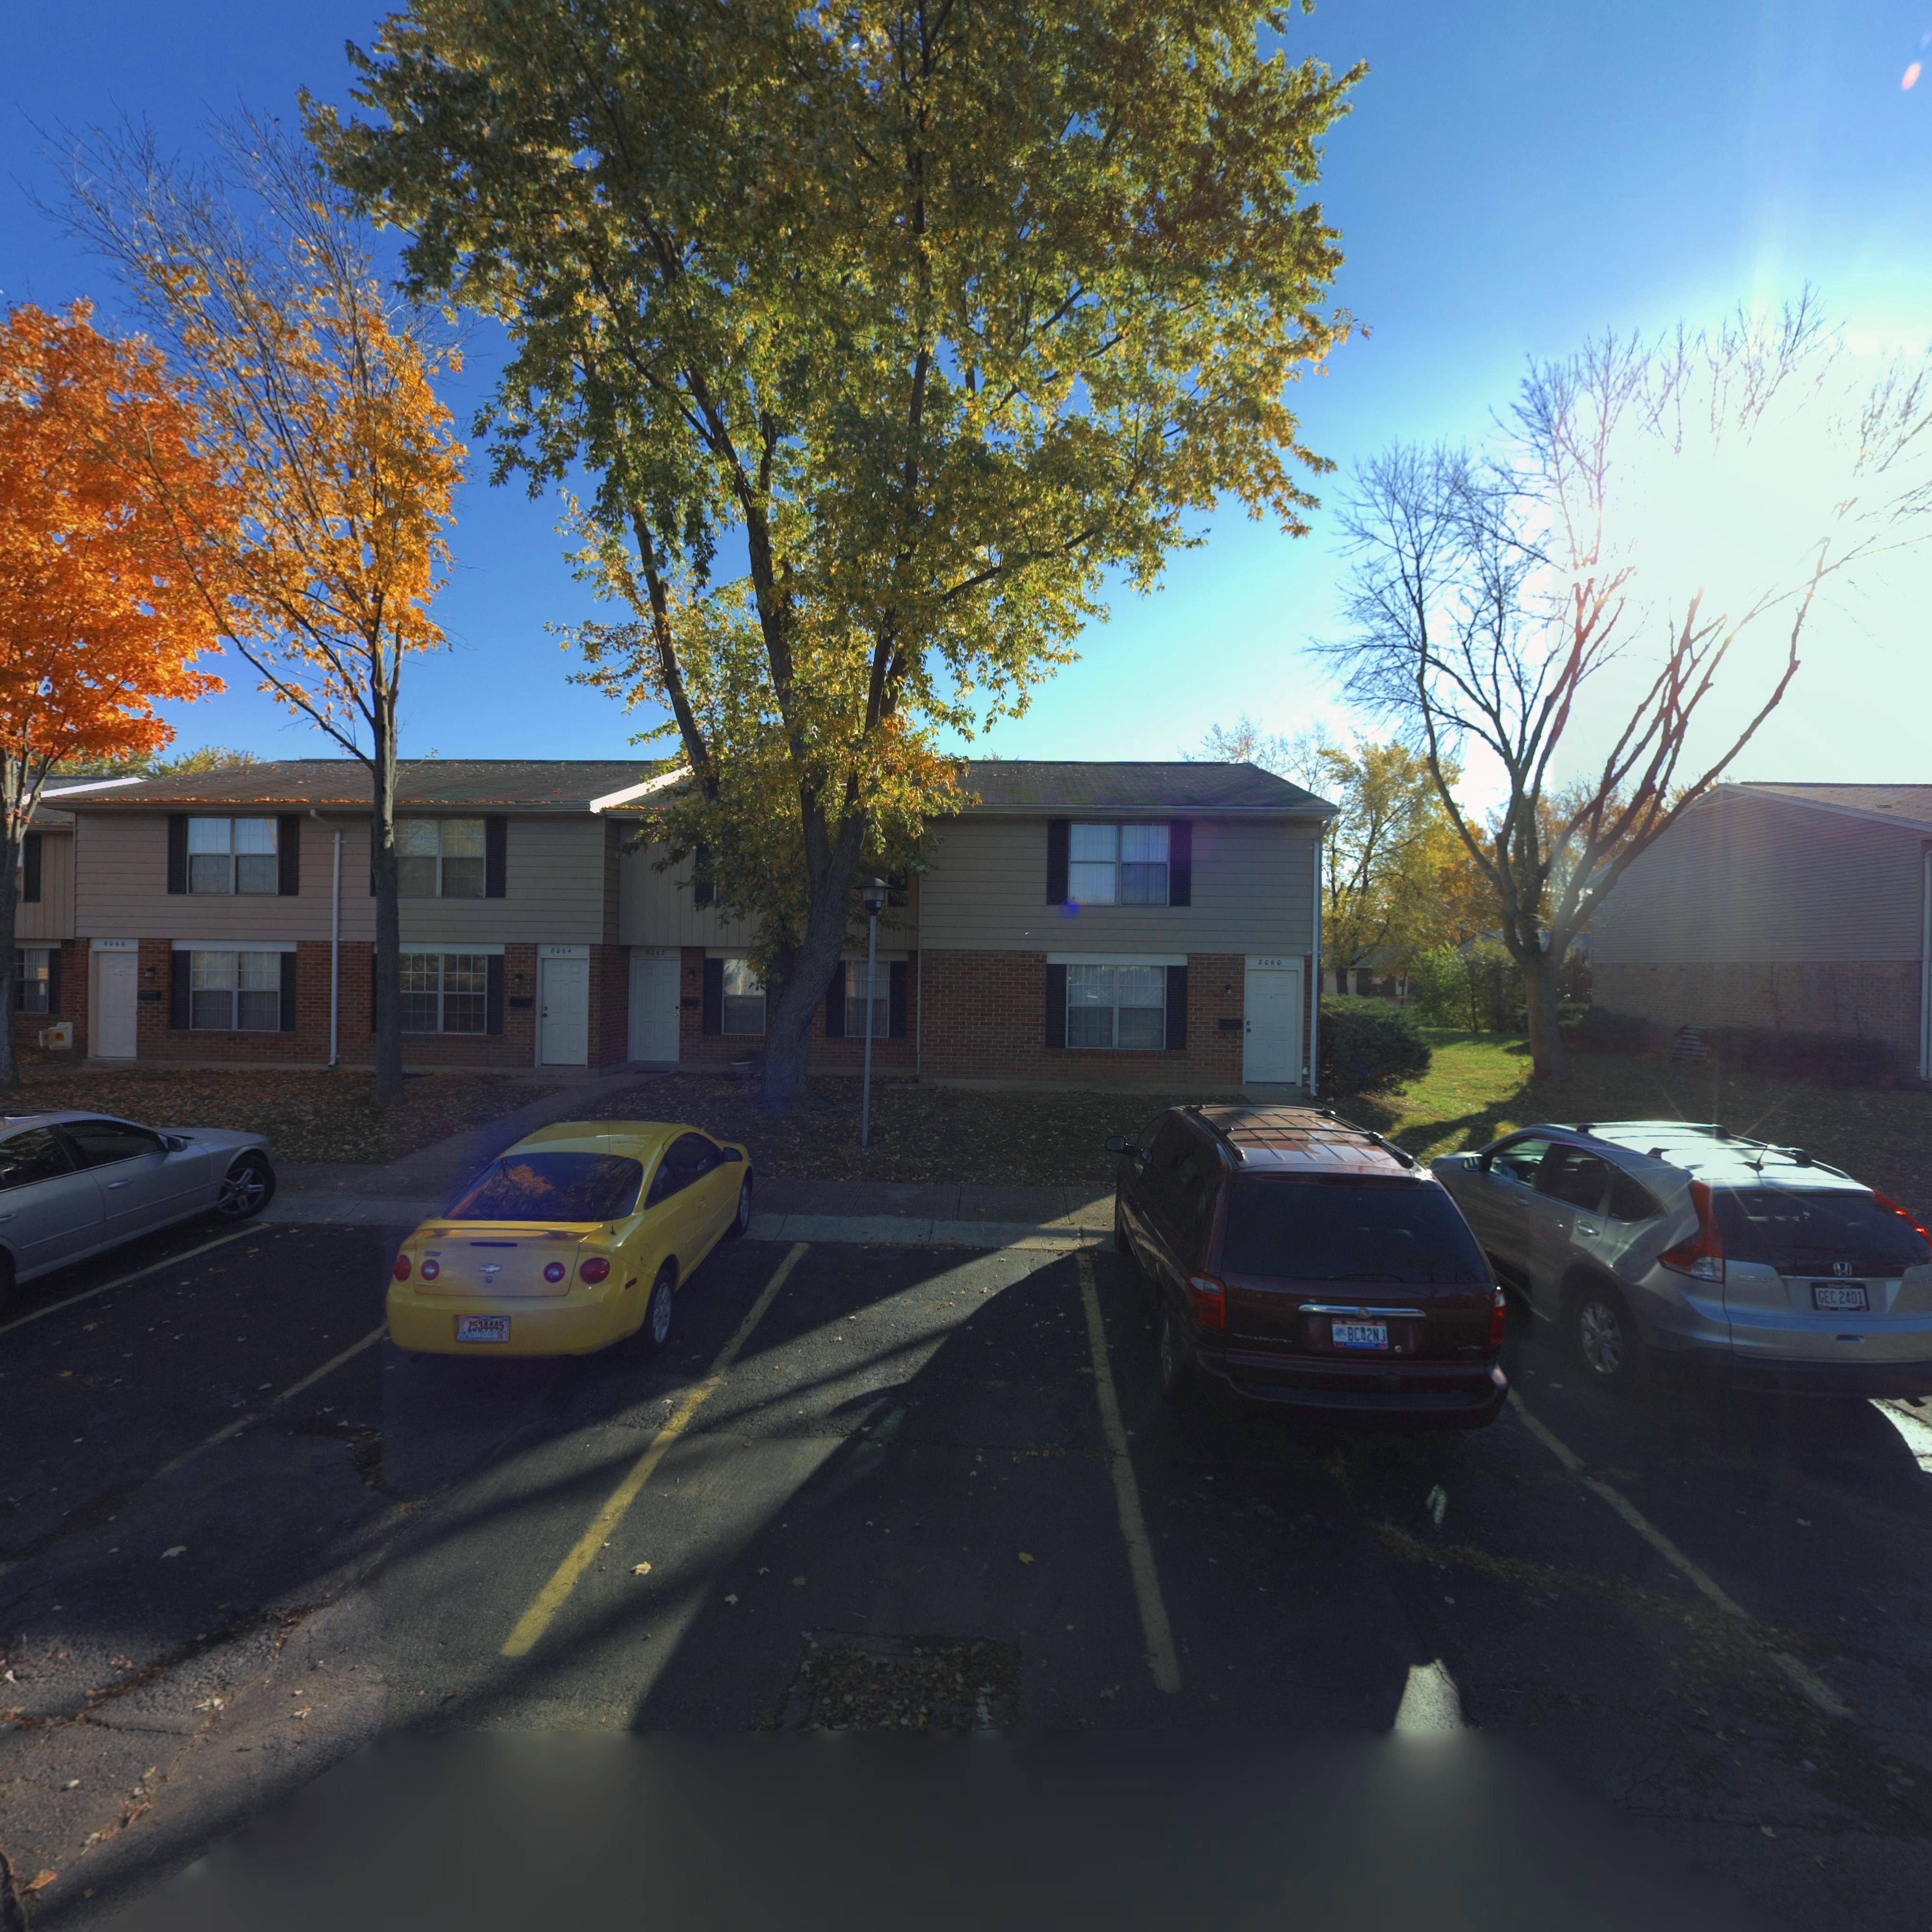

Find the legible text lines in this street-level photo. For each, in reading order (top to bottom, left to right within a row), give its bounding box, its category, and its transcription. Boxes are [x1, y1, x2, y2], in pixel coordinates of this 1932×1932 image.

[103, 940, 126, 947] StreetNumber: 8066
[550, 947, 571, 954] StreetNumber: 8064
[646, 950, 665, 956] StreetNumber: 8062
[1258, 959, 1281, 966] StreetNumber: 8060